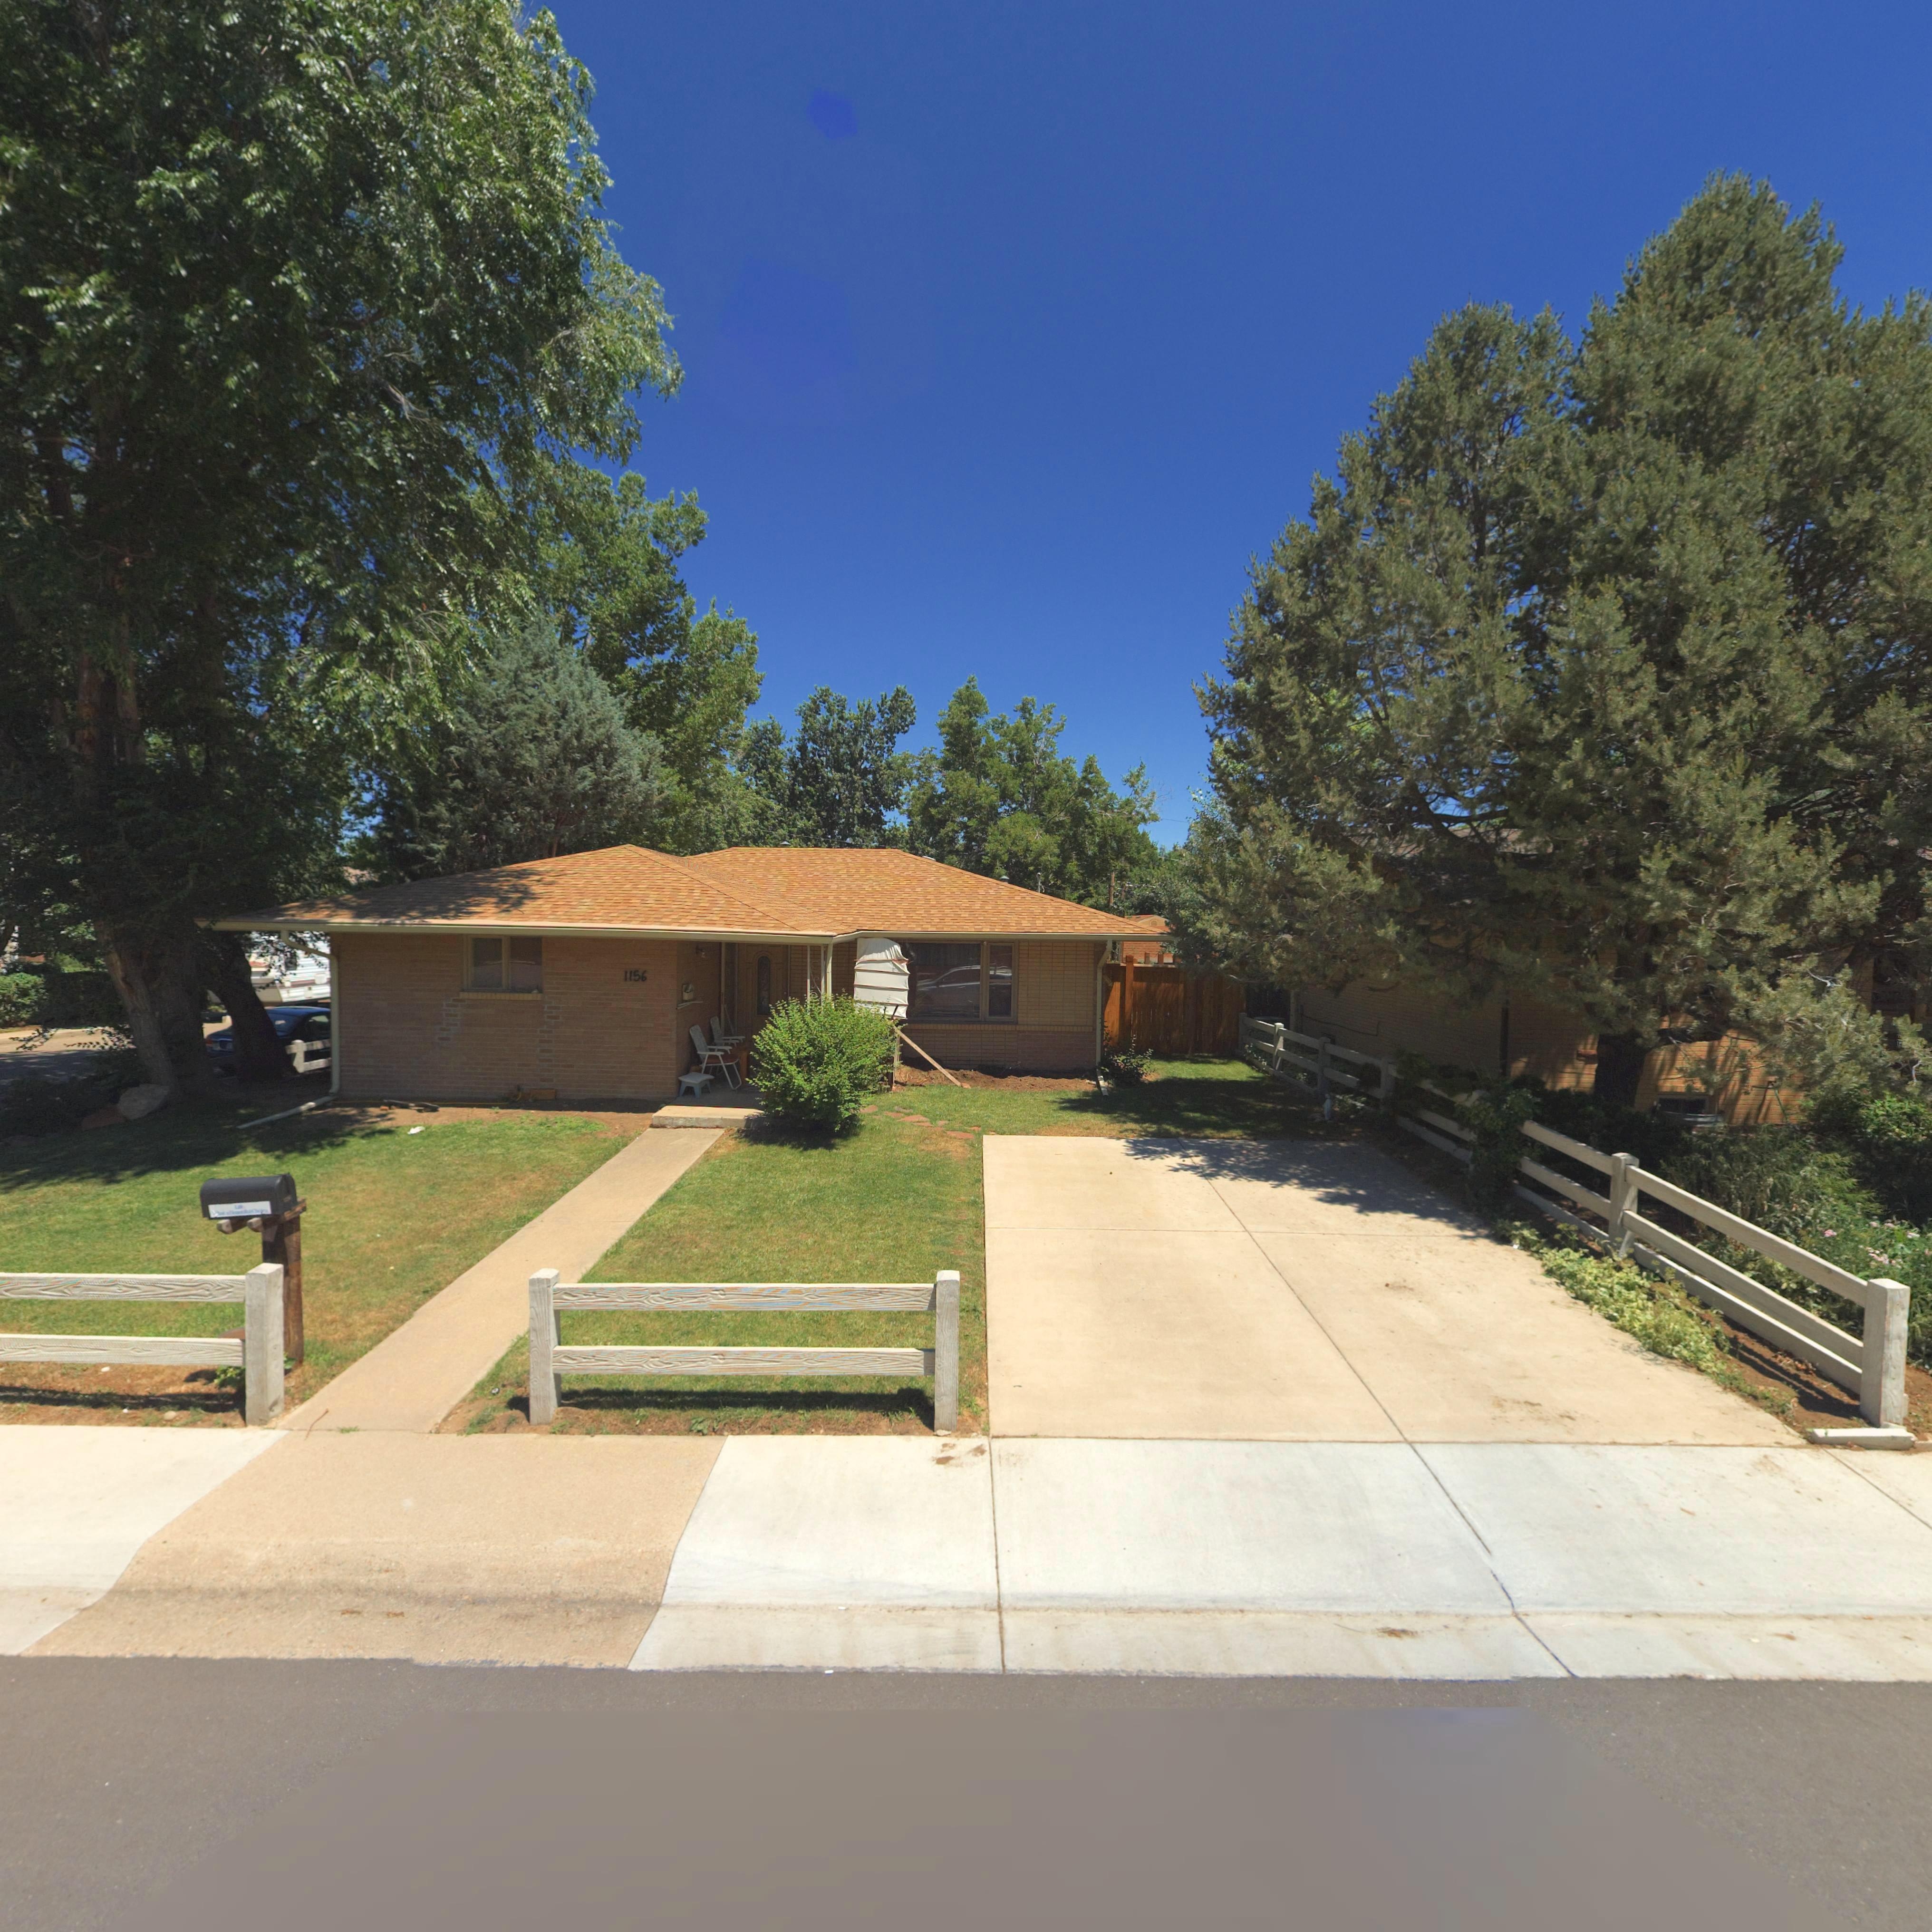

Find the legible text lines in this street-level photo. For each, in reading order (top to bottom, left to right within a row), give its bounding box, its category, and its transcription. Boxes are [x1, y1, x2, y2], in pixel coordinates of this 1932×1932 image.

[623, 969, 647, 982] StreetNumber: 1156